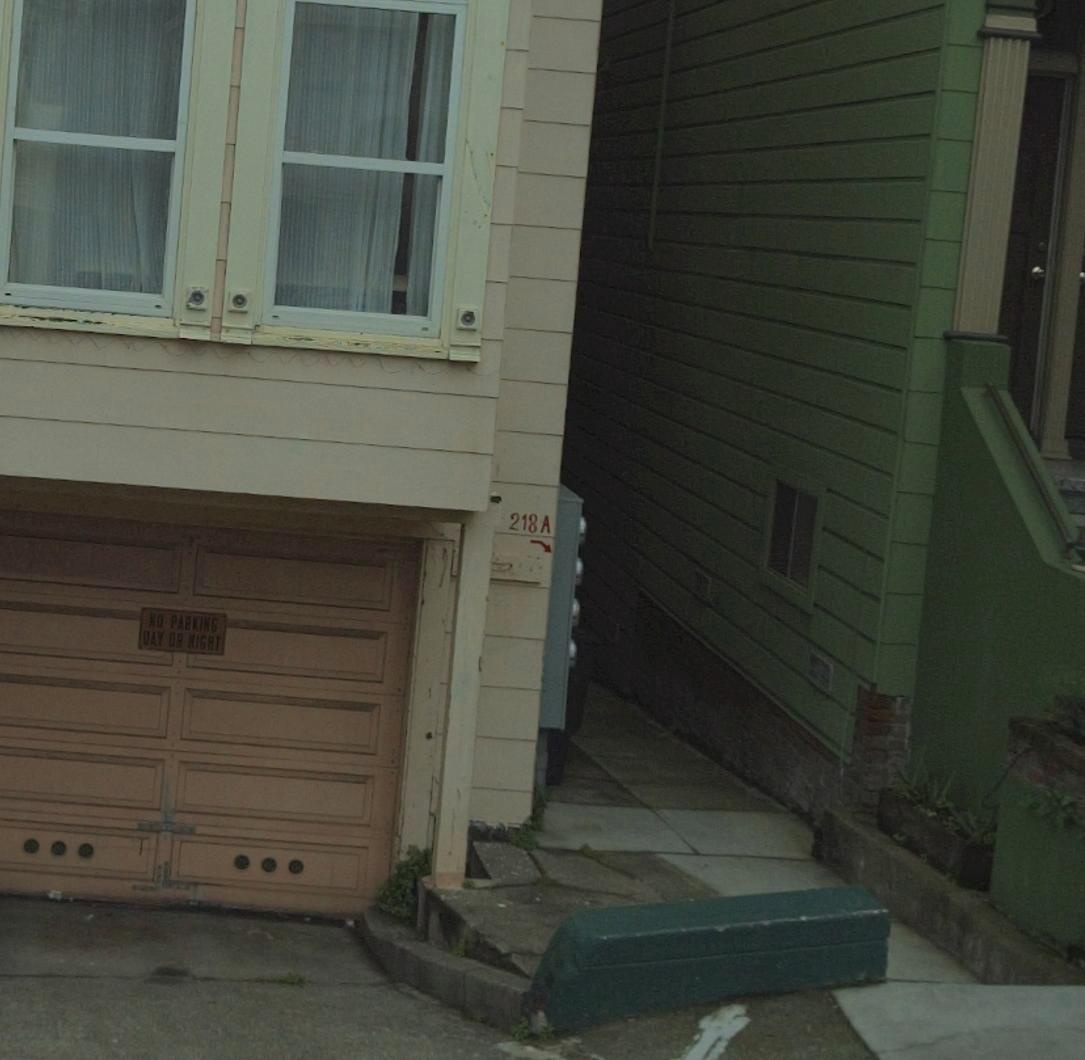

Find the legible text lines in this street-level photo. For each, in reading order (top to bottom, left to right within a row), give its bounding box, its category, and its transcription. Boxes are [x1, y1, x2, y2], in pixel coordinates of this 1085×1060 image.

[506, 509, 553, 536] StreetNumber: 218A
[146, 609, 220, 635] None: NO PARKING
[140, 626, 224, 654] None: DAY OR NIGHT